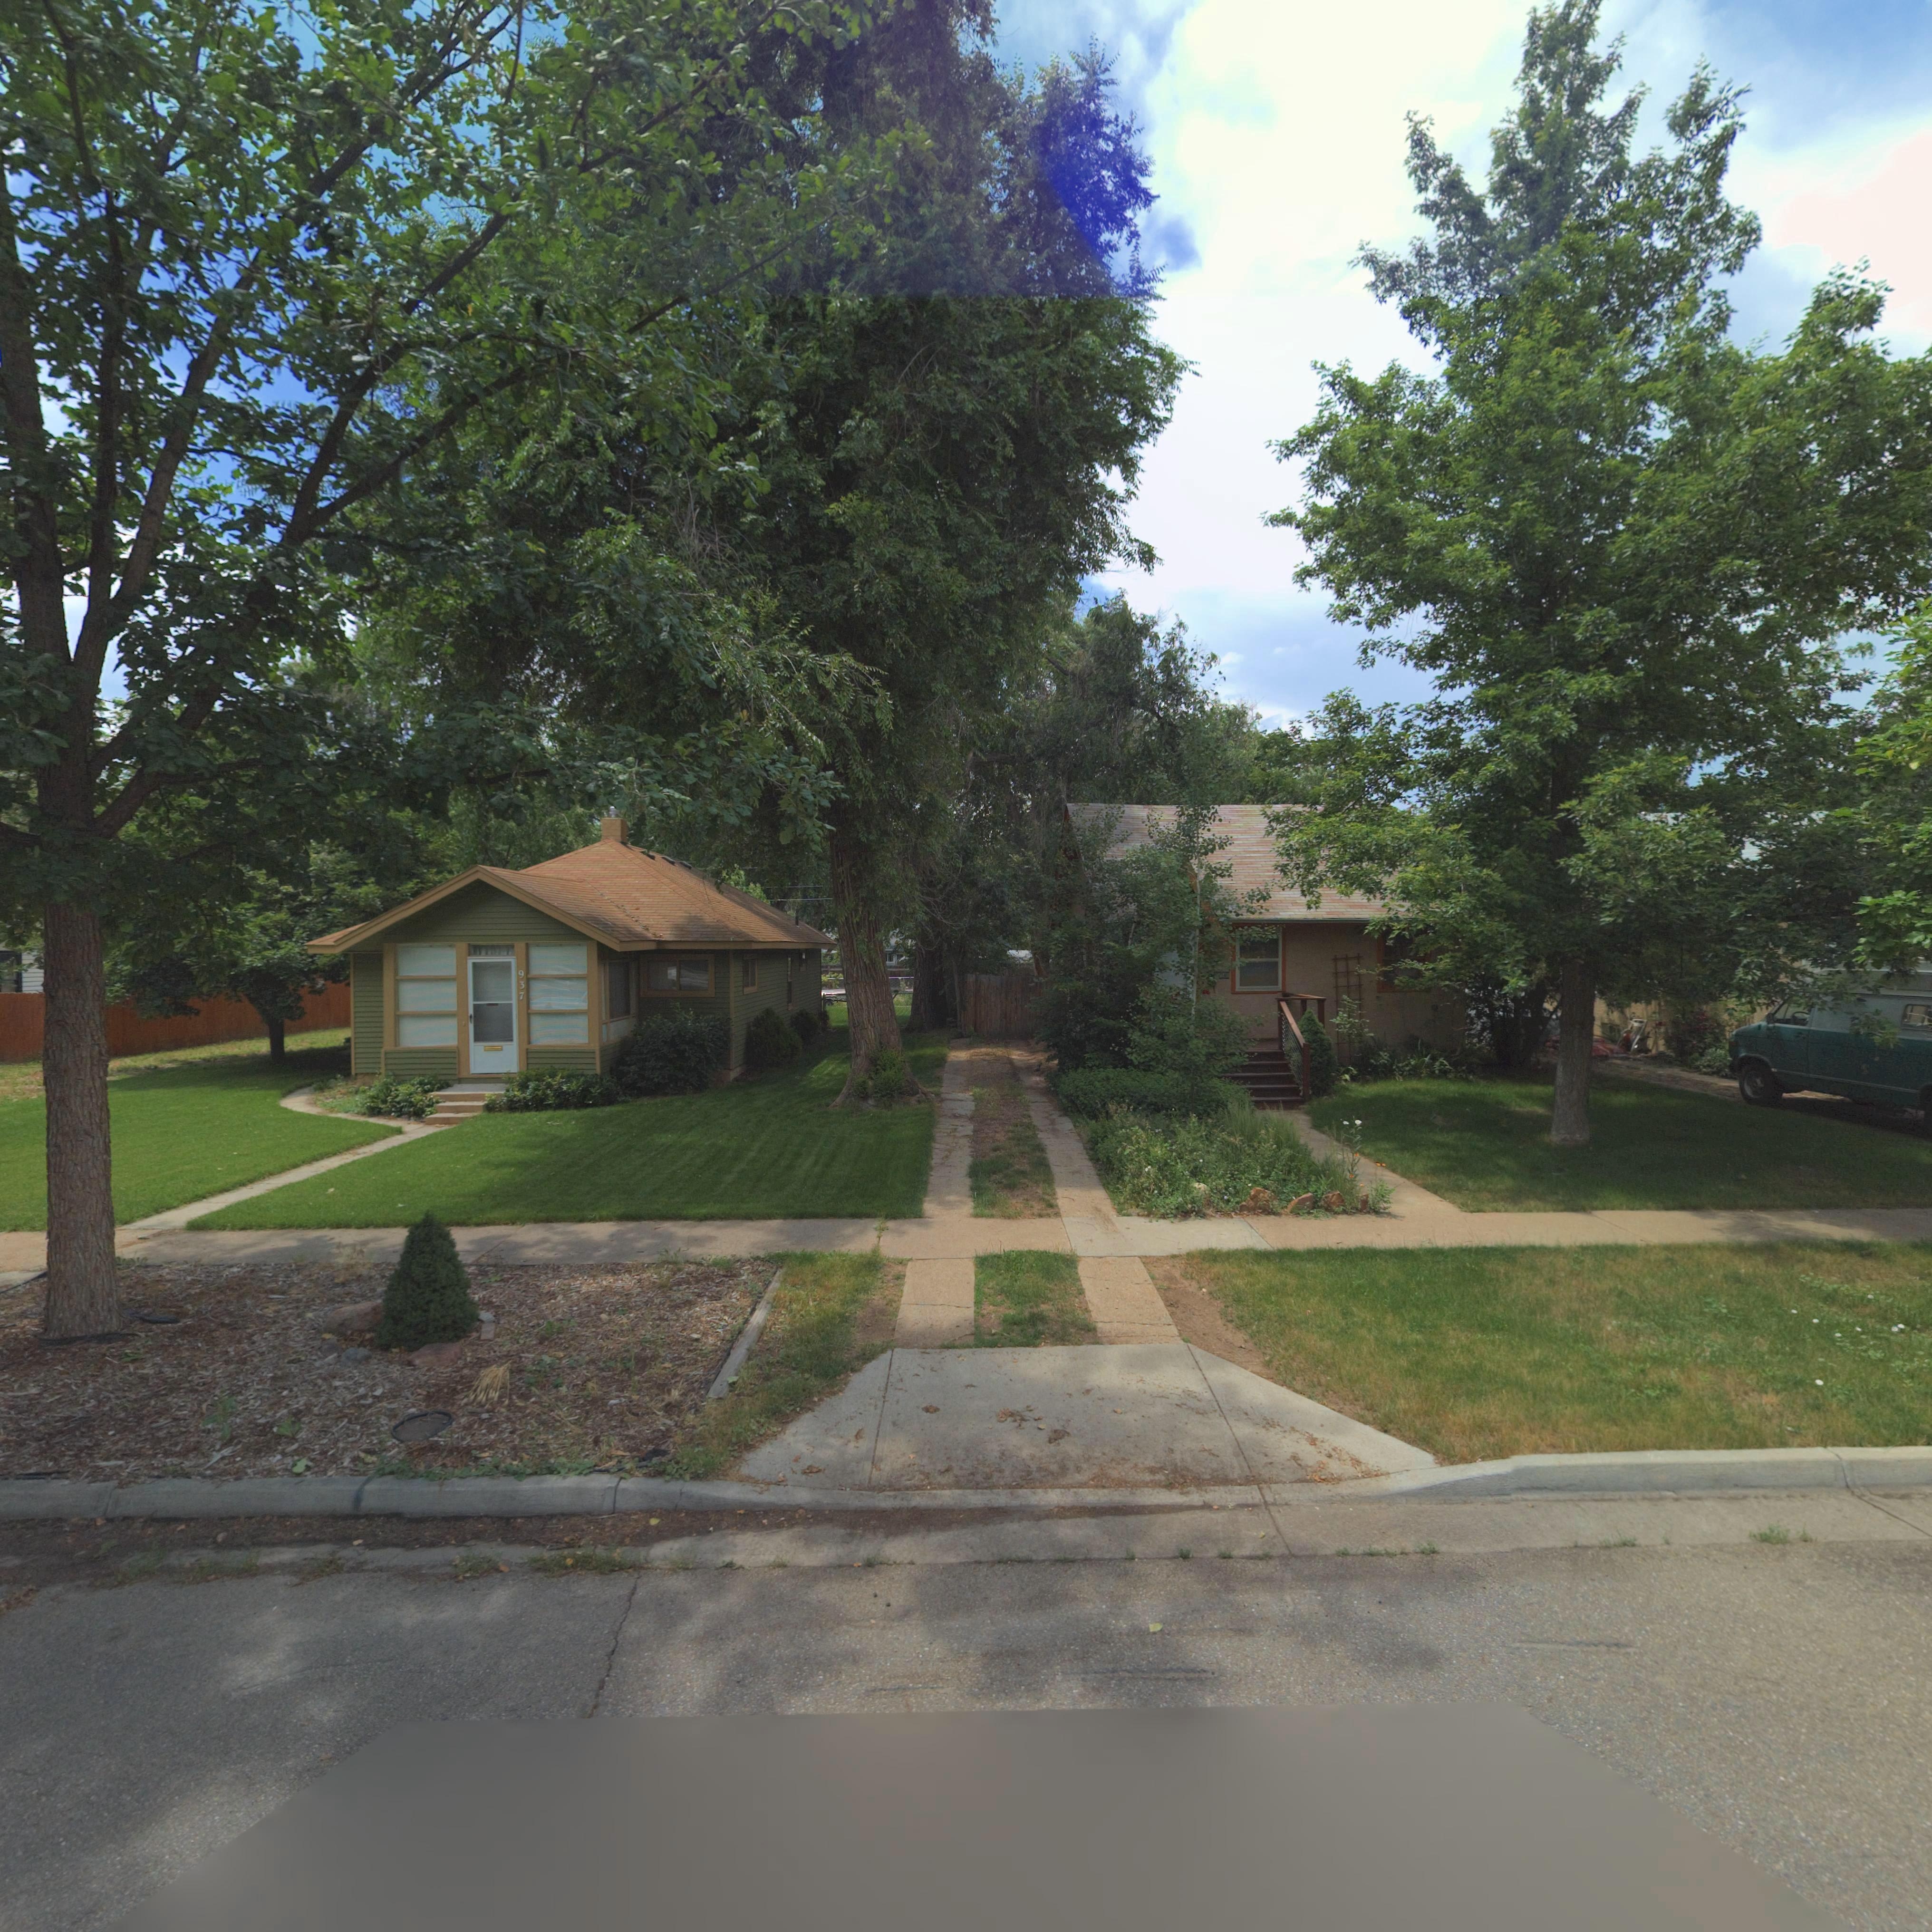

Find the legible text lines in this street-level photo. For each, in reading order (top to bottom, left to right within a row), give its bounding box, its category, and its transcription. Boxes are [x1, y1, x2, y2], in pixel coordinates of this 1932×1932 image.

[518, 969, 525, 1000] StreetNumber: 937